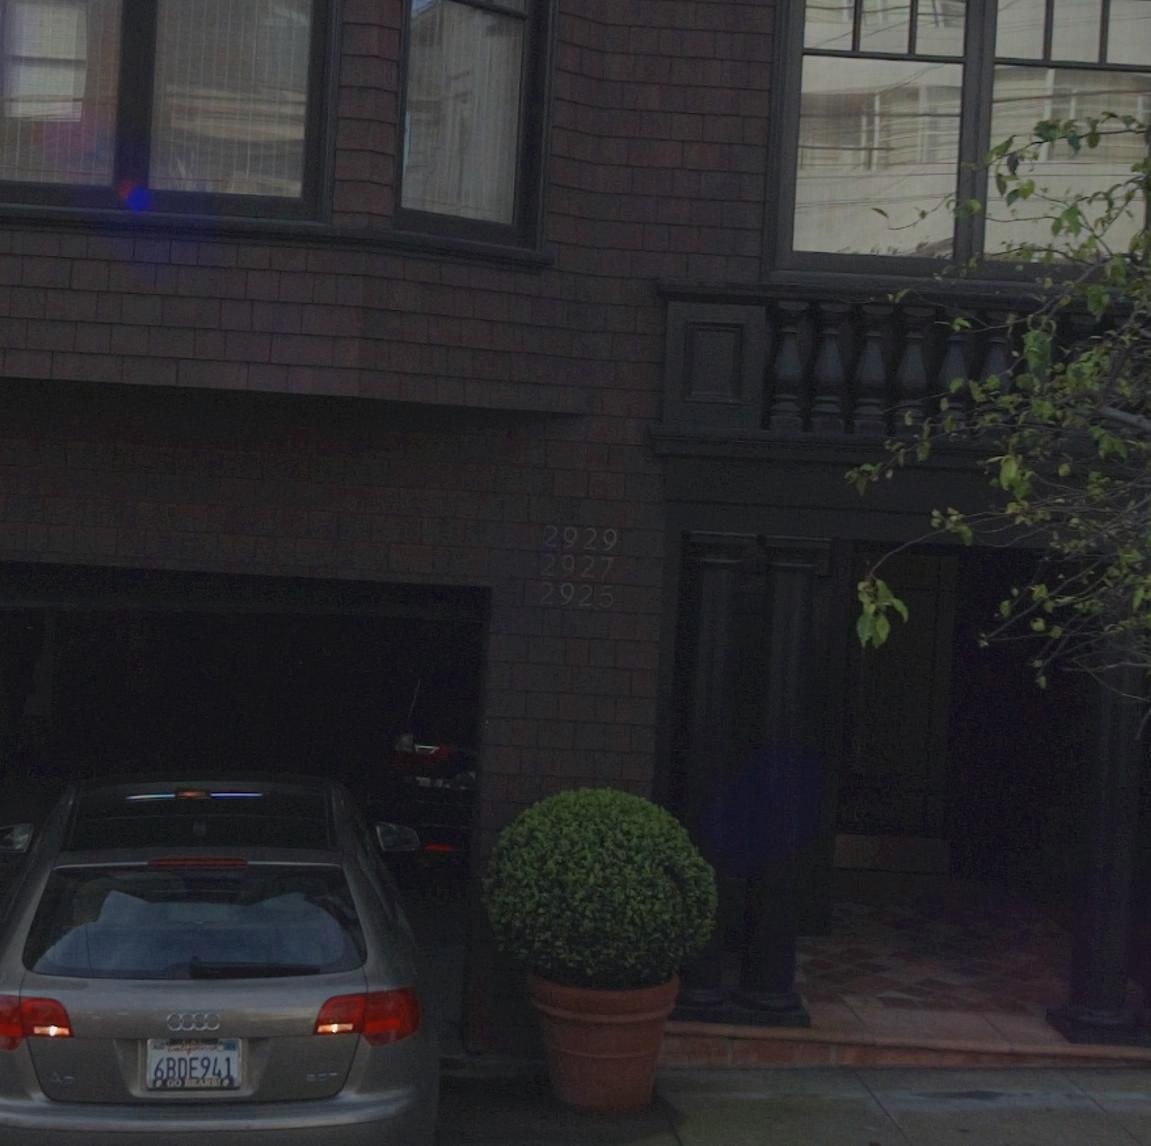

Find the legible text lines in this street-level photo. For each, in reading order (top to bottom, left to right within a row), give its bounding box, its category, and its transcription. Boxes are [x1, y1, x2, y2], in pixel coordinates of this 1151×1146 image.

[540, 521, 621, 555] StreetNumber: 2929
[535, 549, 620, 583] StreetNumber: 2927
[532, 576, 619, 612] StreetNumber: 2925
[151, 1053, 235, 1082] None: 6BDE941